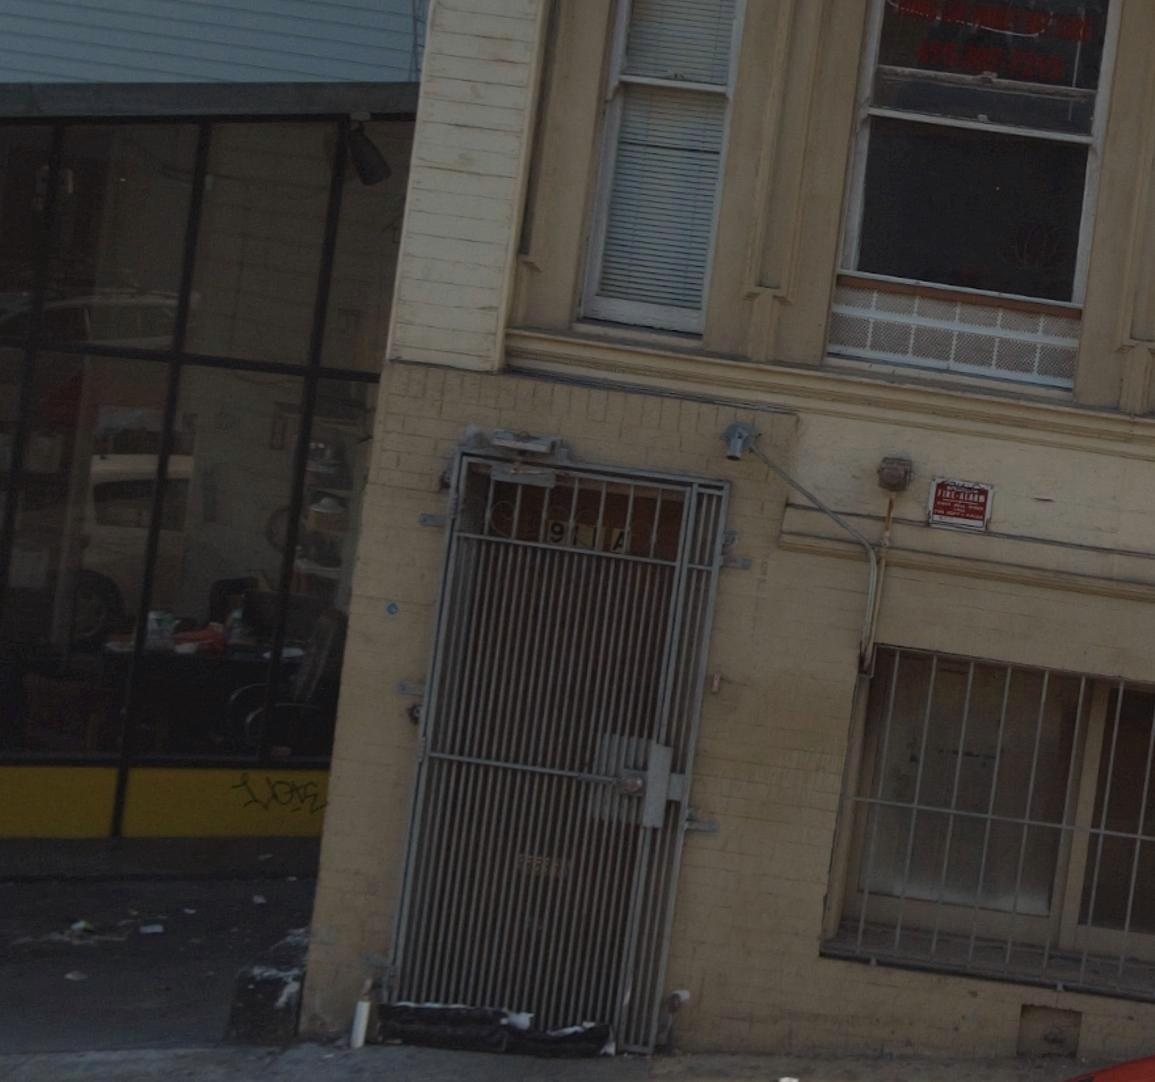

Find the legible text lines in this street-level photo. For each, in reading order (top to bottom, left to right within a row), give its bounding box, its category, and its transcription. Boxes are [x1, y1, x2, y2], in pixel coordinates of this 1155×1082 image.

[546, 517, 631, 557] StreetNumber: 911 A